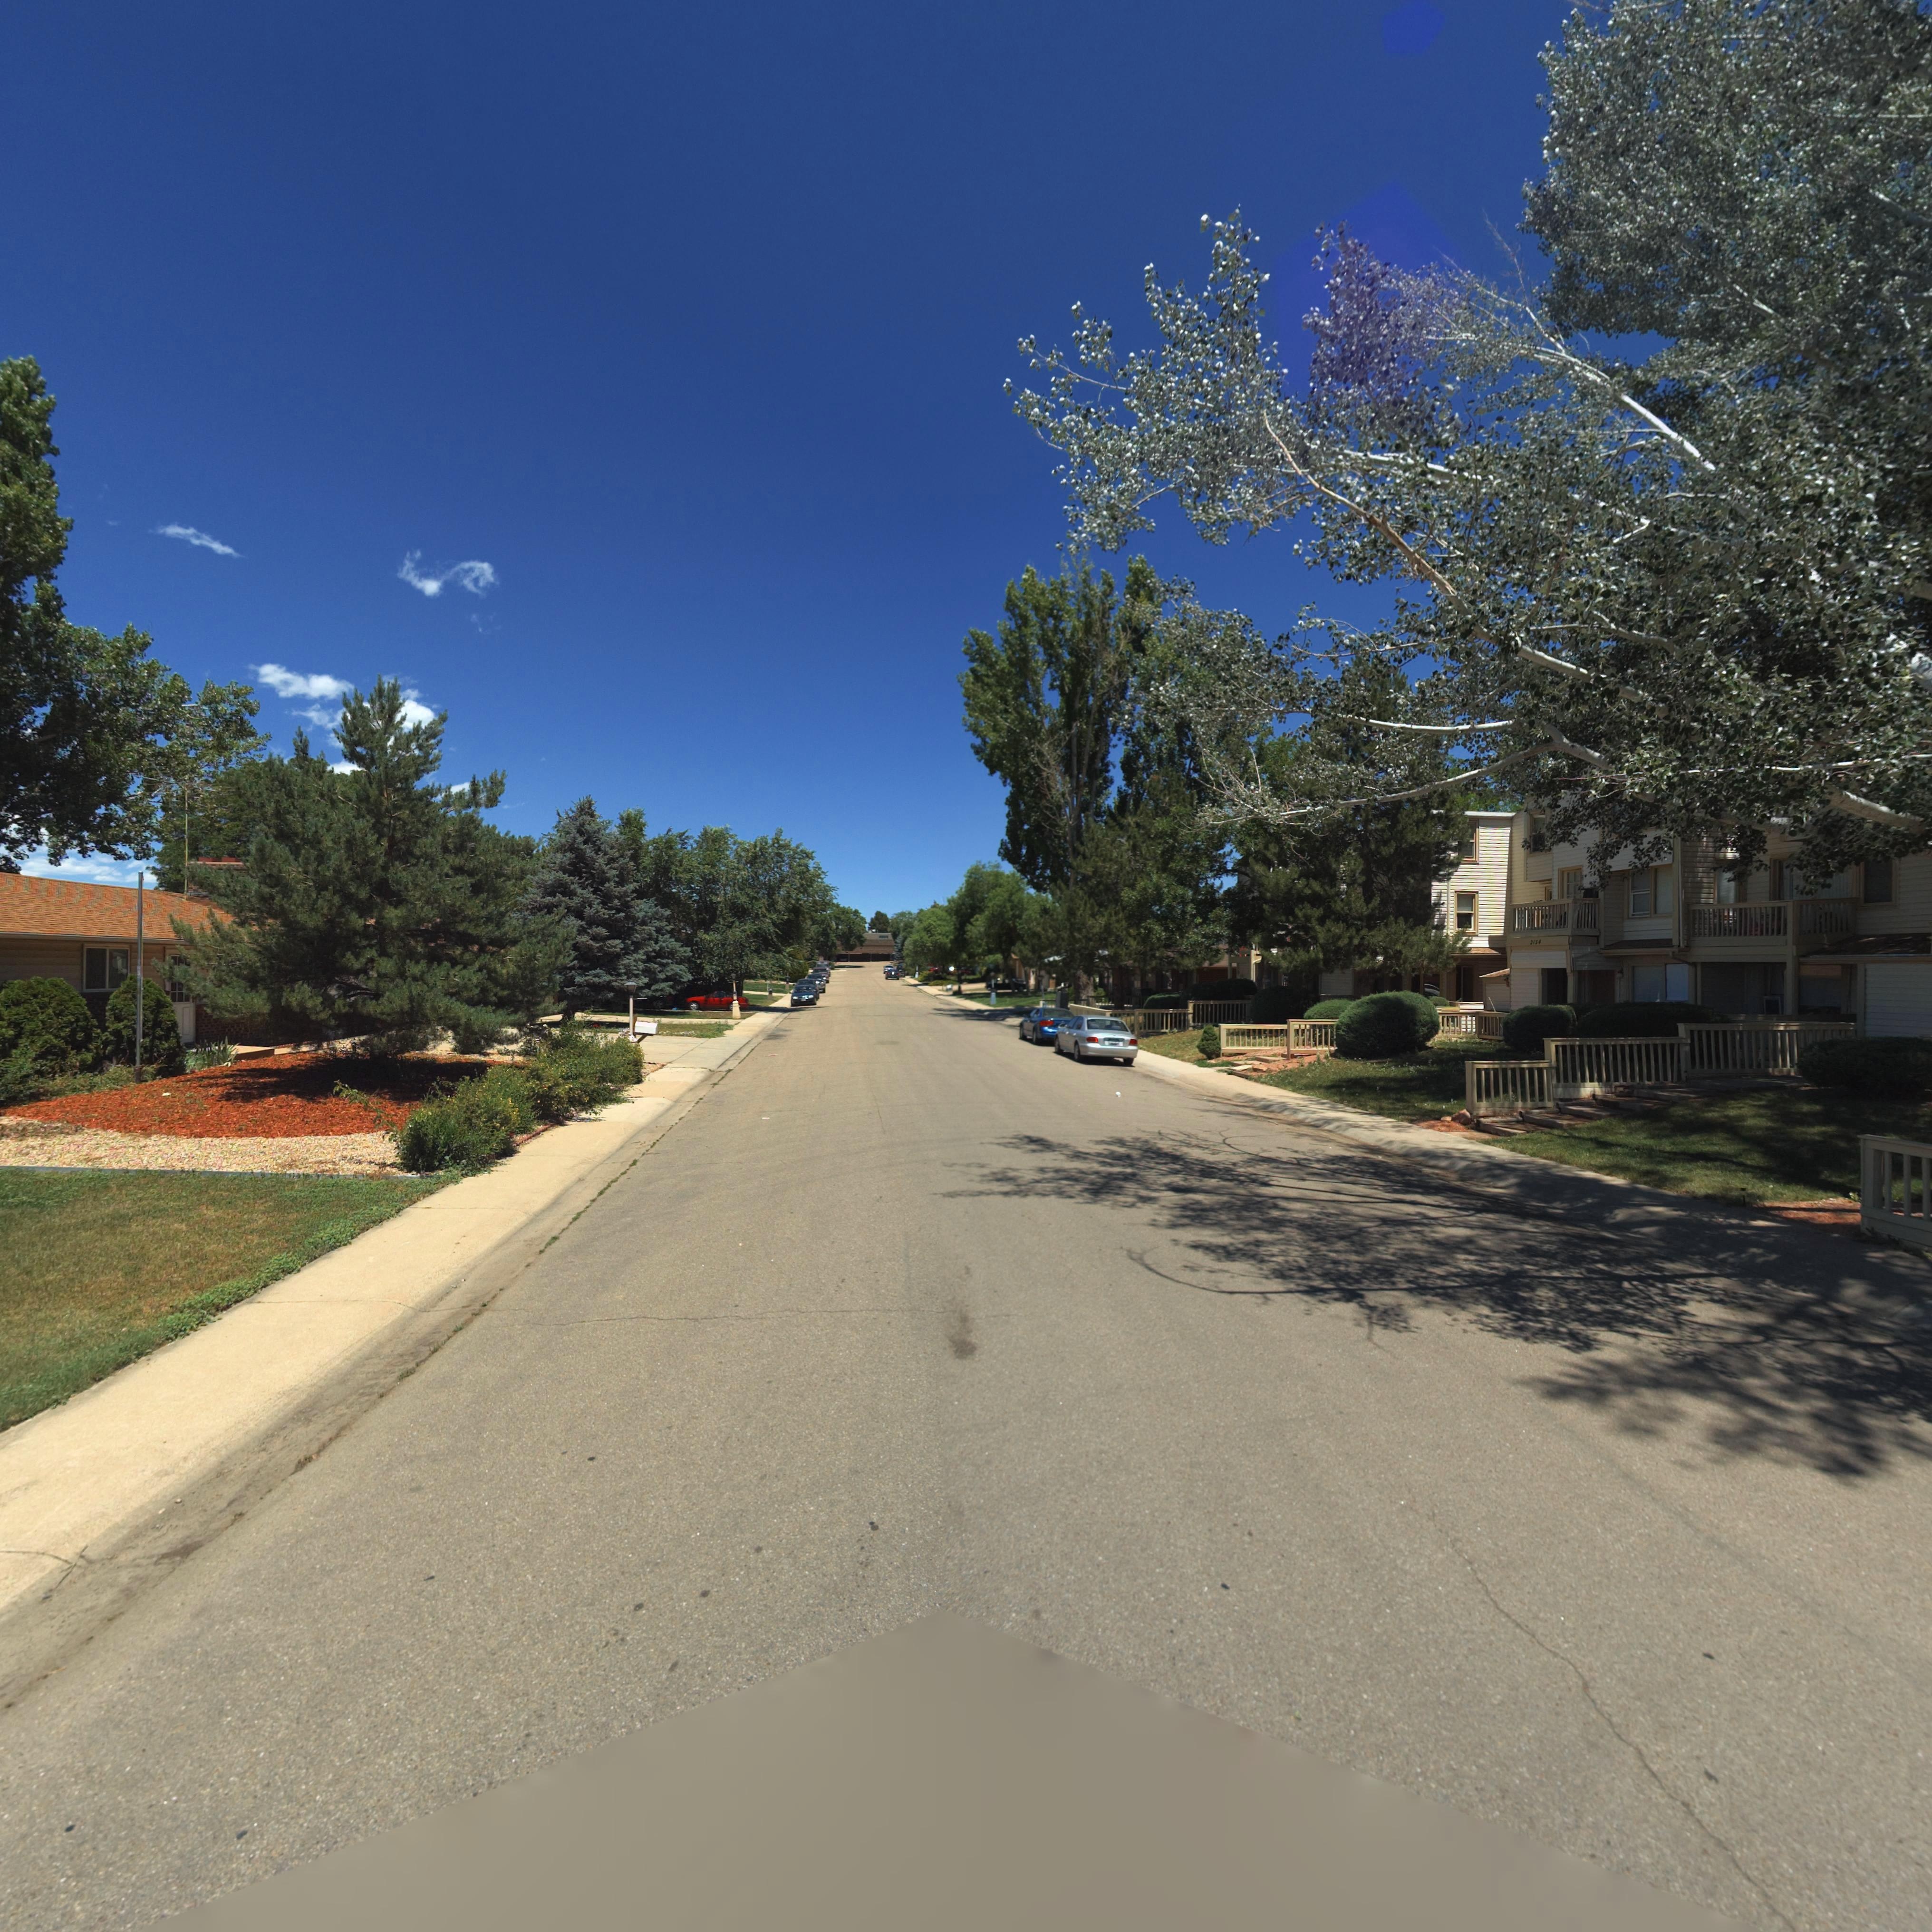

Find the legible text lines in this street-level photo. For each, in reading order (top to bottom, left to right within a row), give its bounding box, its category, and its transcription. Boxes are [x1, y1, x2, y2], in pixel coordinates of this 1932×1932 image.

[1529, 939, 1541, 945] StreetNumber: 2154